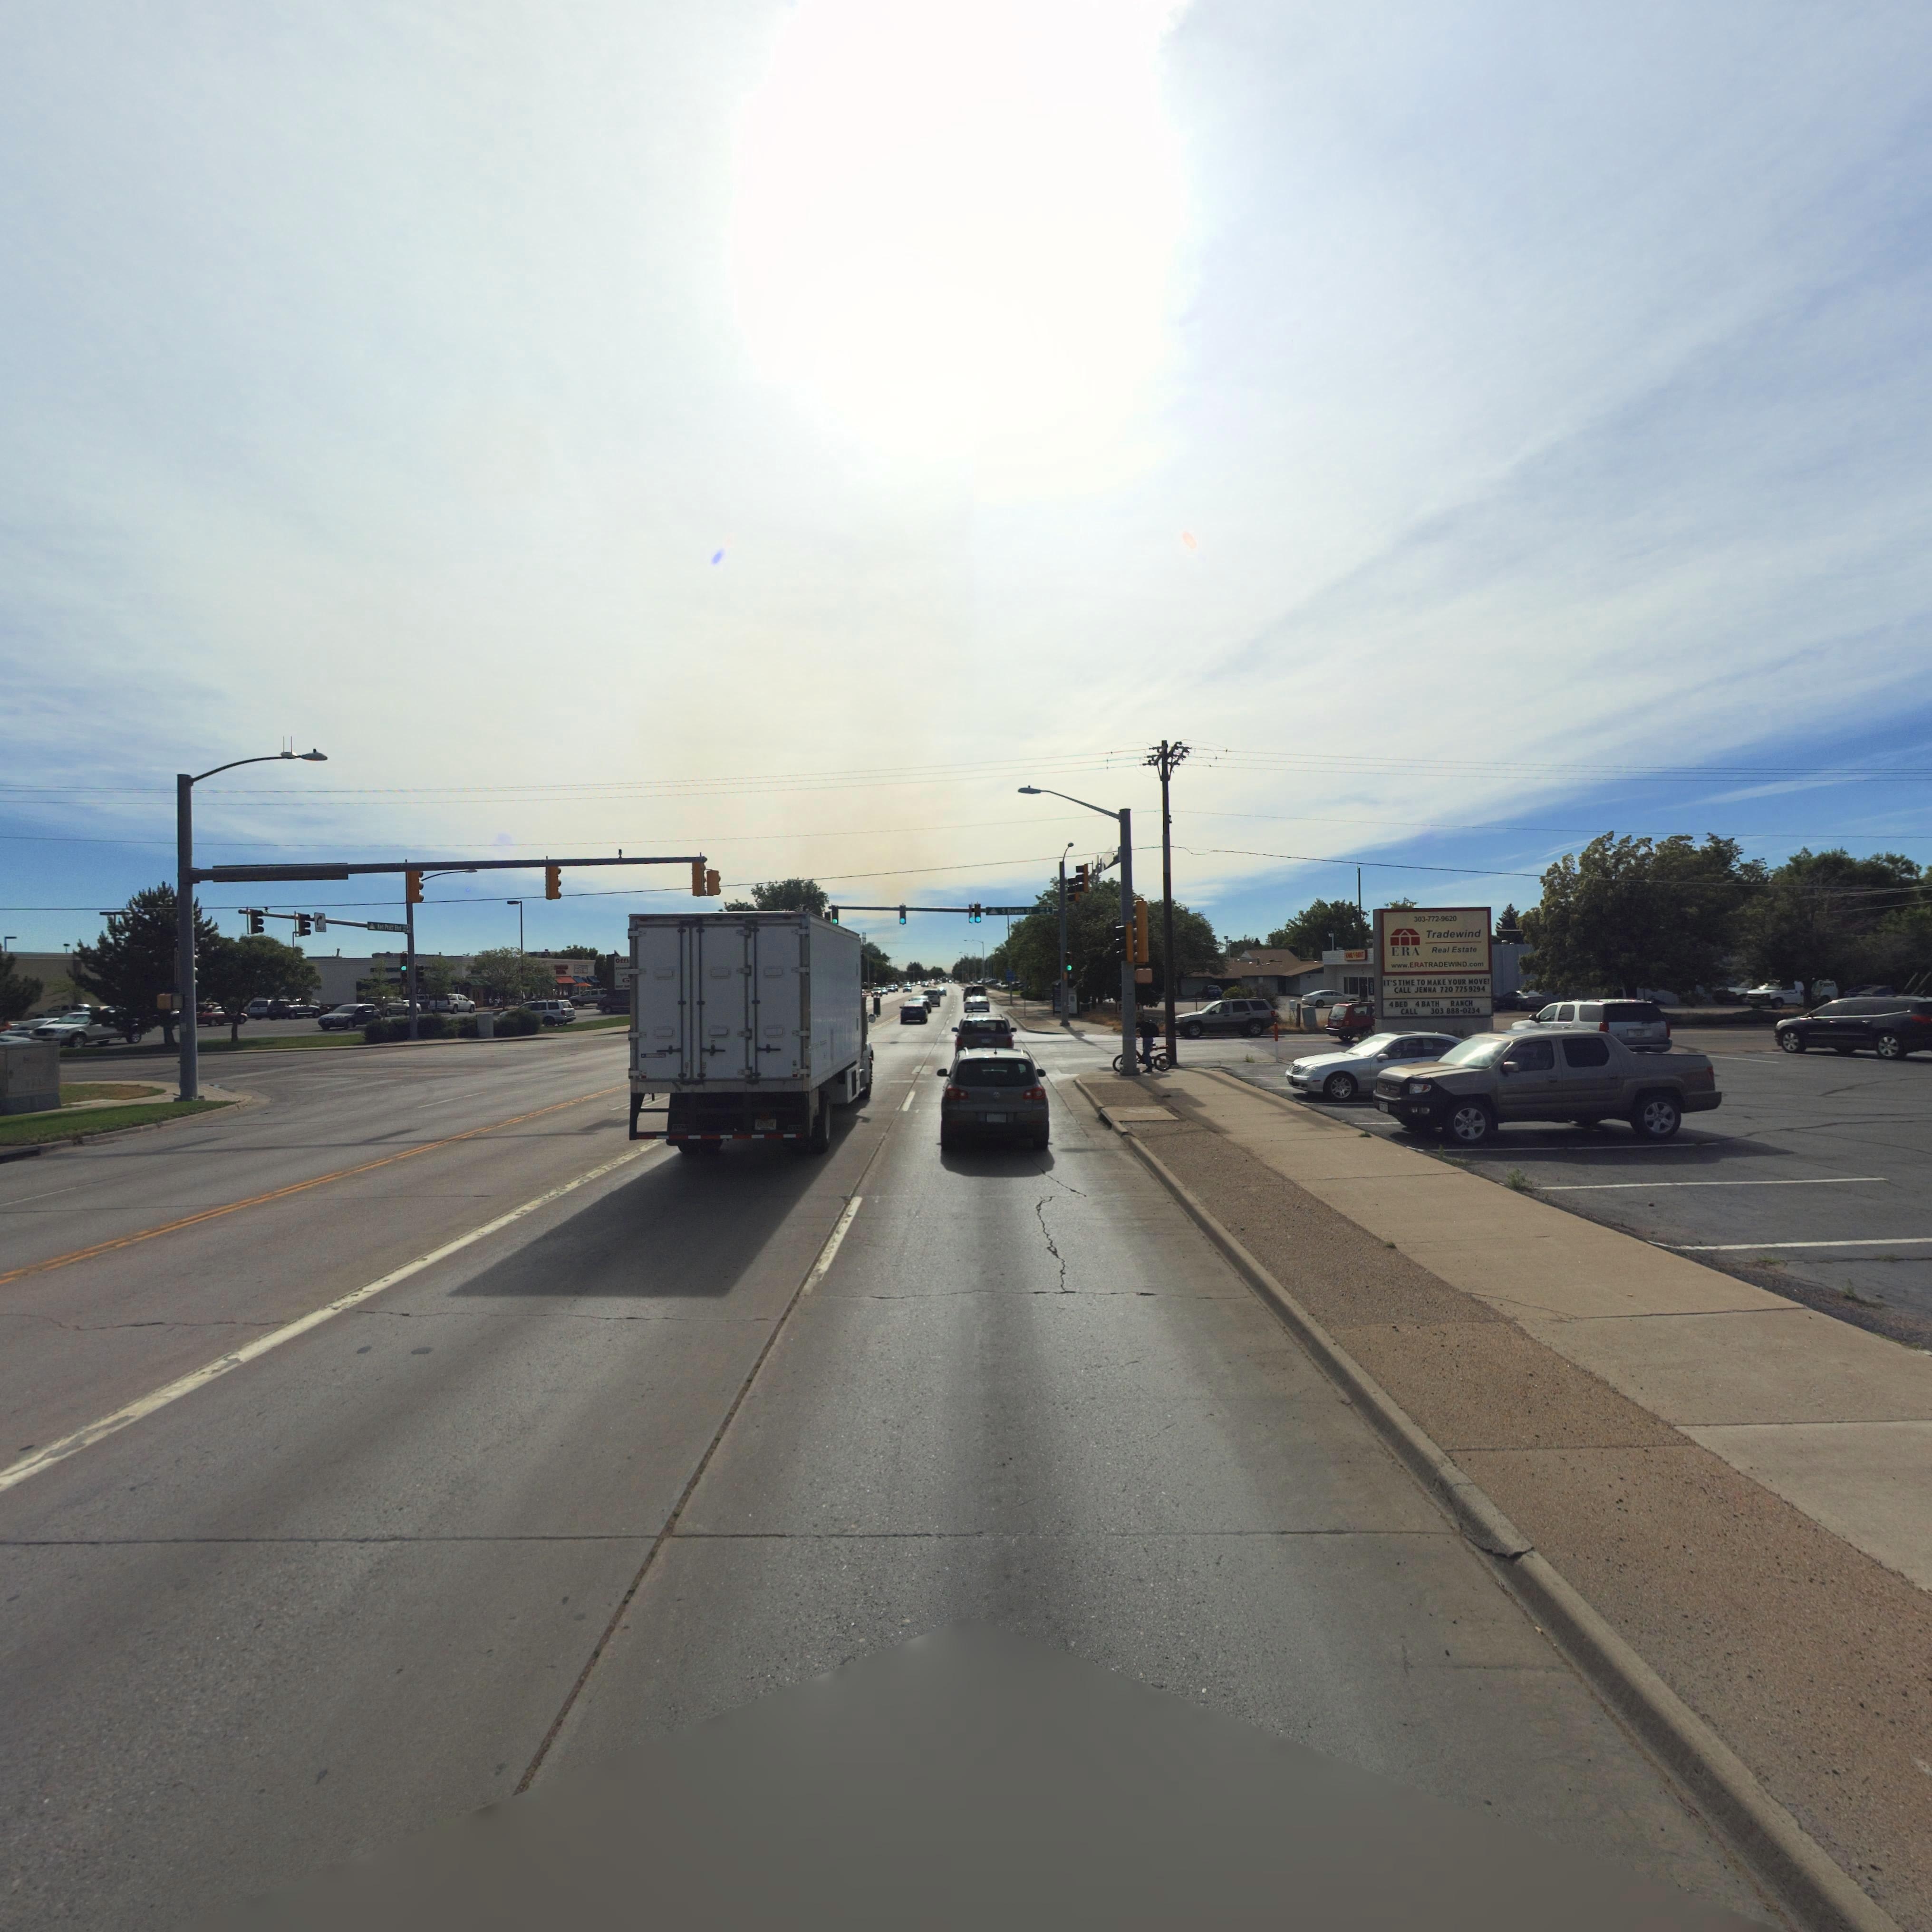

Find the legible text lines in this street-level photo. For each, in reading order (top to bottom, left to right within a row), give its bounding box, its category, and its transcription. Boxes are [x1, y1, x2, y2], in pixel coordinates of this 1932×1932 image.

[1001, 908, 1032, 914] StreetName: S Bowen St
[376, 923, 402, 931] StreetName: K*n Pra** Bl*d
[1426, 928, 1482, 938] BusinessName: Tradewind
[1355, 951, 1364, 958] BusinessName: ****T
[1391, 946, 1420, 956] BusinessName: ERA
[1431, 945, 1478, 953] BusinessName: Real Estate
[615, 957, 629, 963] BusinessName: Off*
[621, 977, 629, 983] BusinessName: G
[1136, 1003, 1141, 1010] BusinessName: T